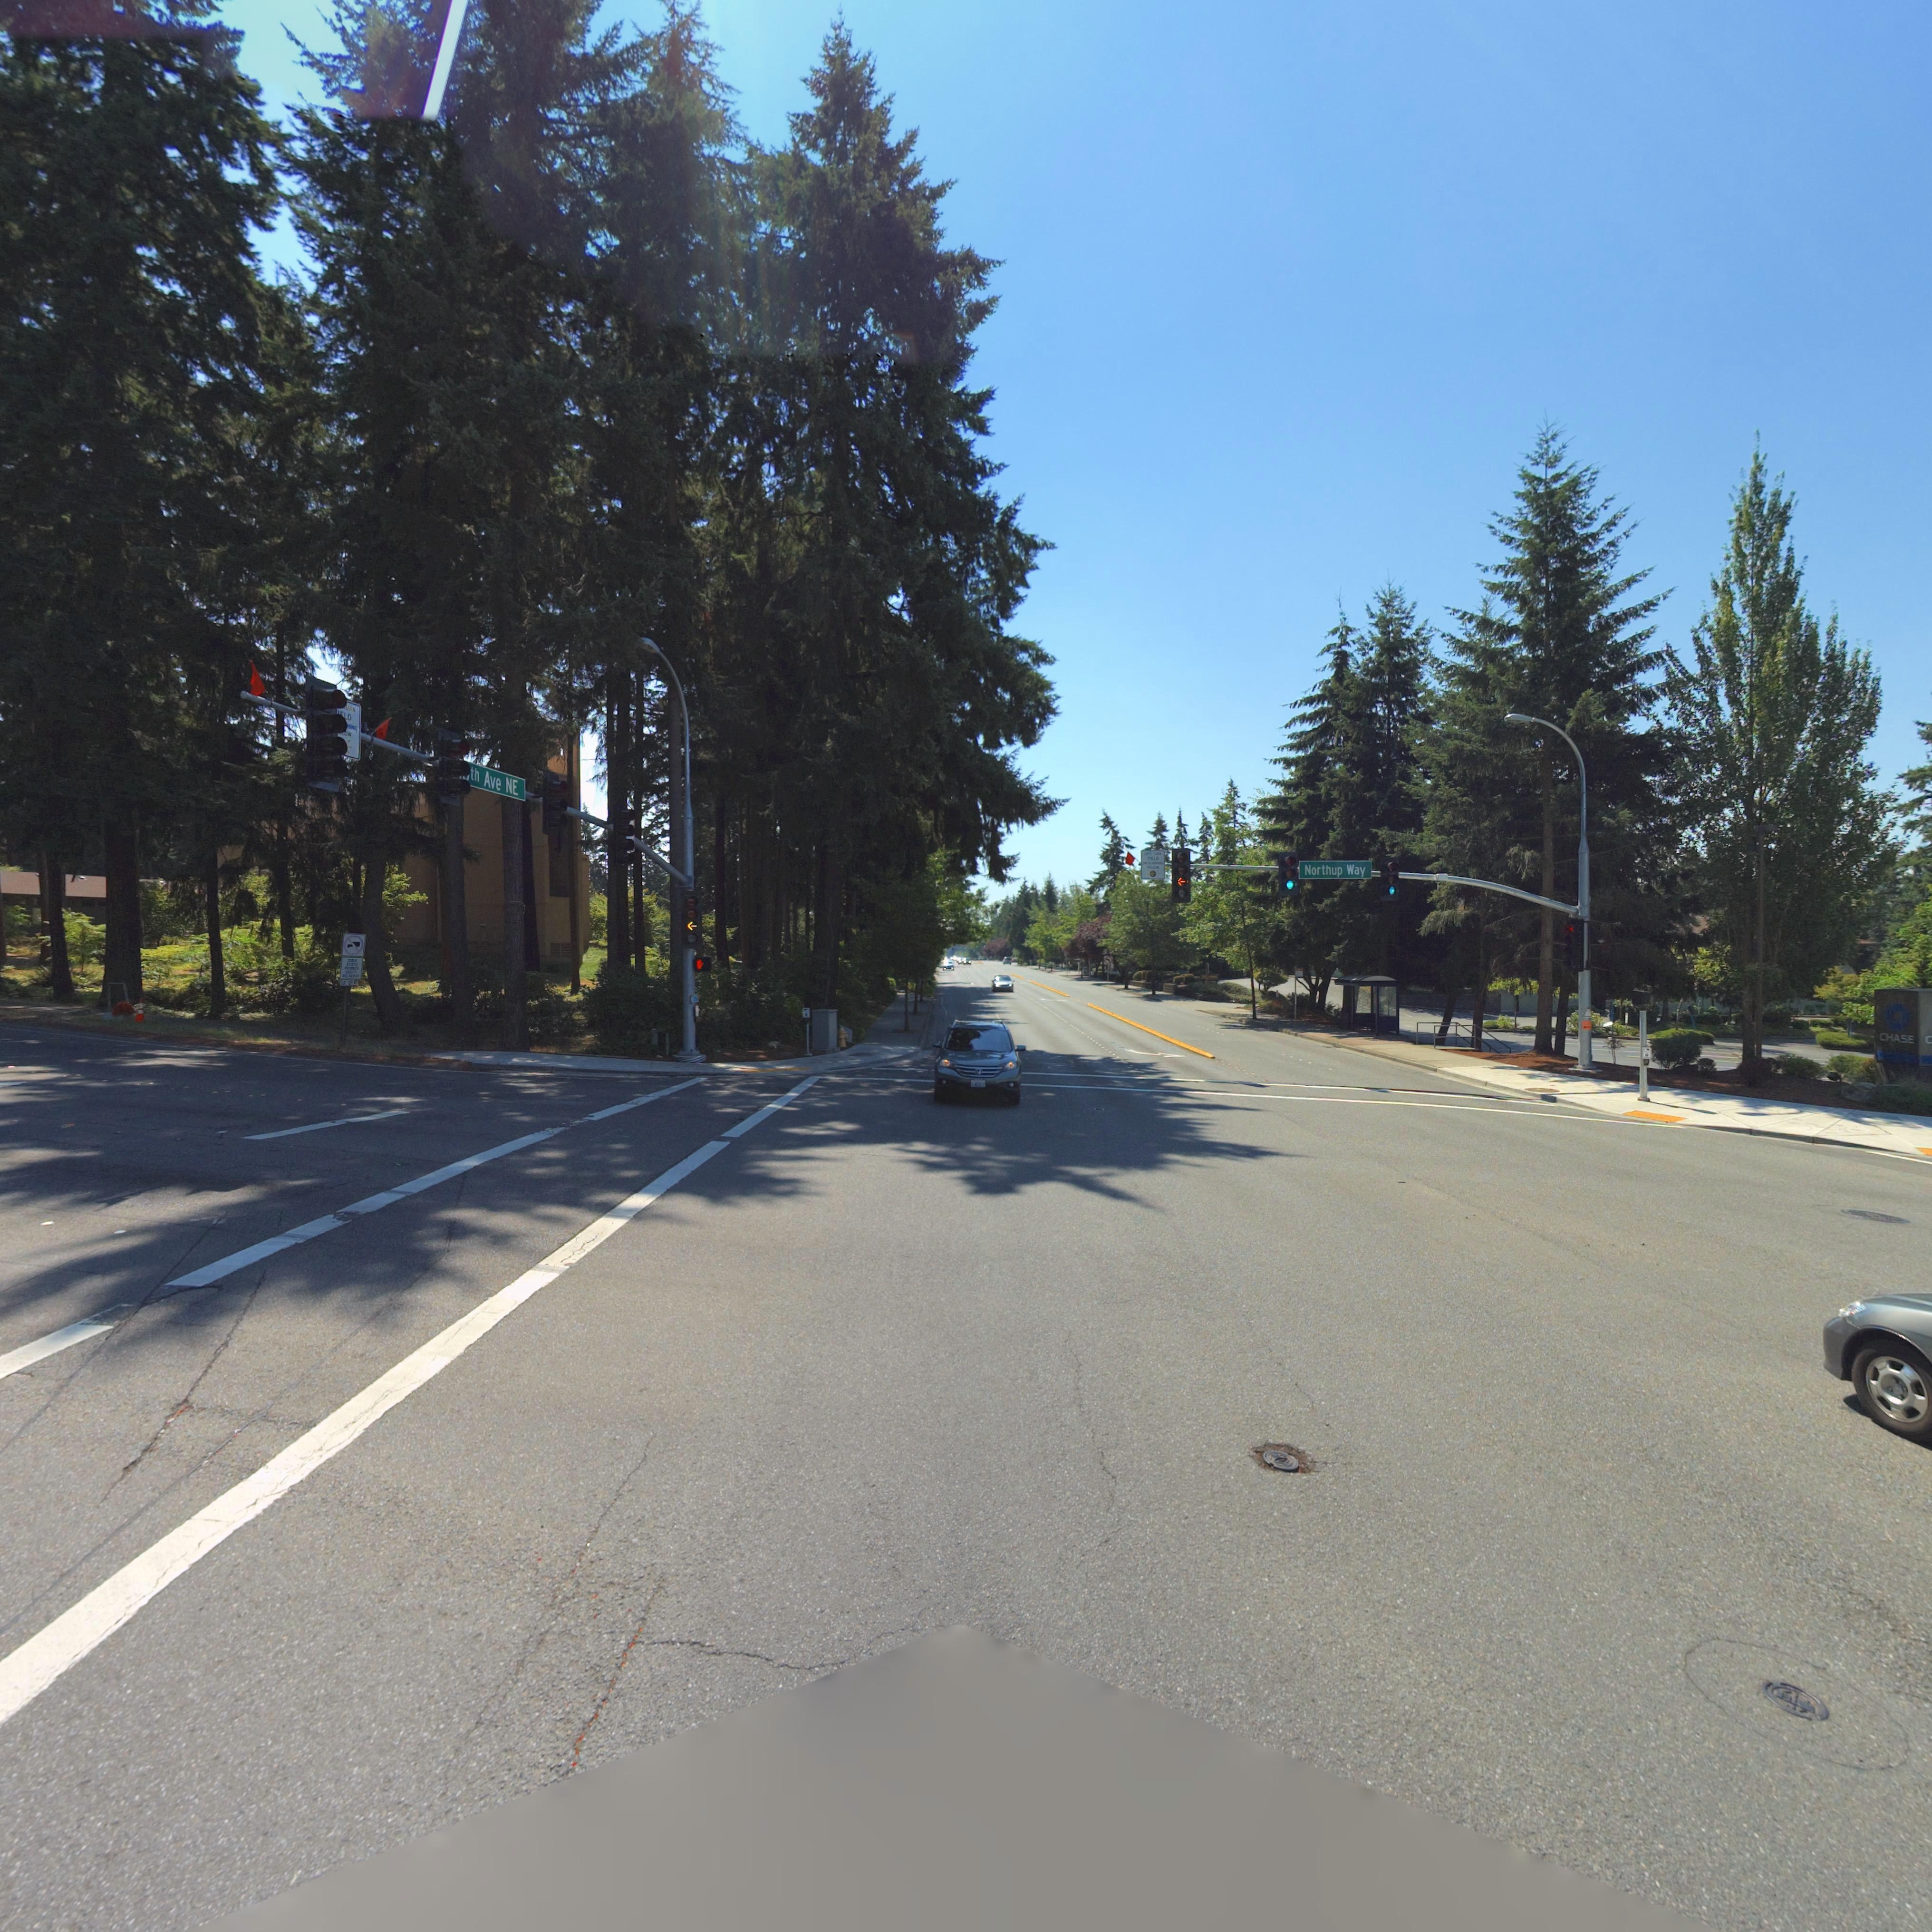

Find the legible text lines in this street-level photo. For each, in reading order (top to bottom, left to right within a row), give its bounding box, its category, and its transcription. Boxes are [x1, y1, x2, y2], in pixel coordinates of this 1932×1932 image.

[470, 767, 518, 795] StreetName: *th Ave NE
[1305, 864, 1365, 877] StreetName: Northup Way